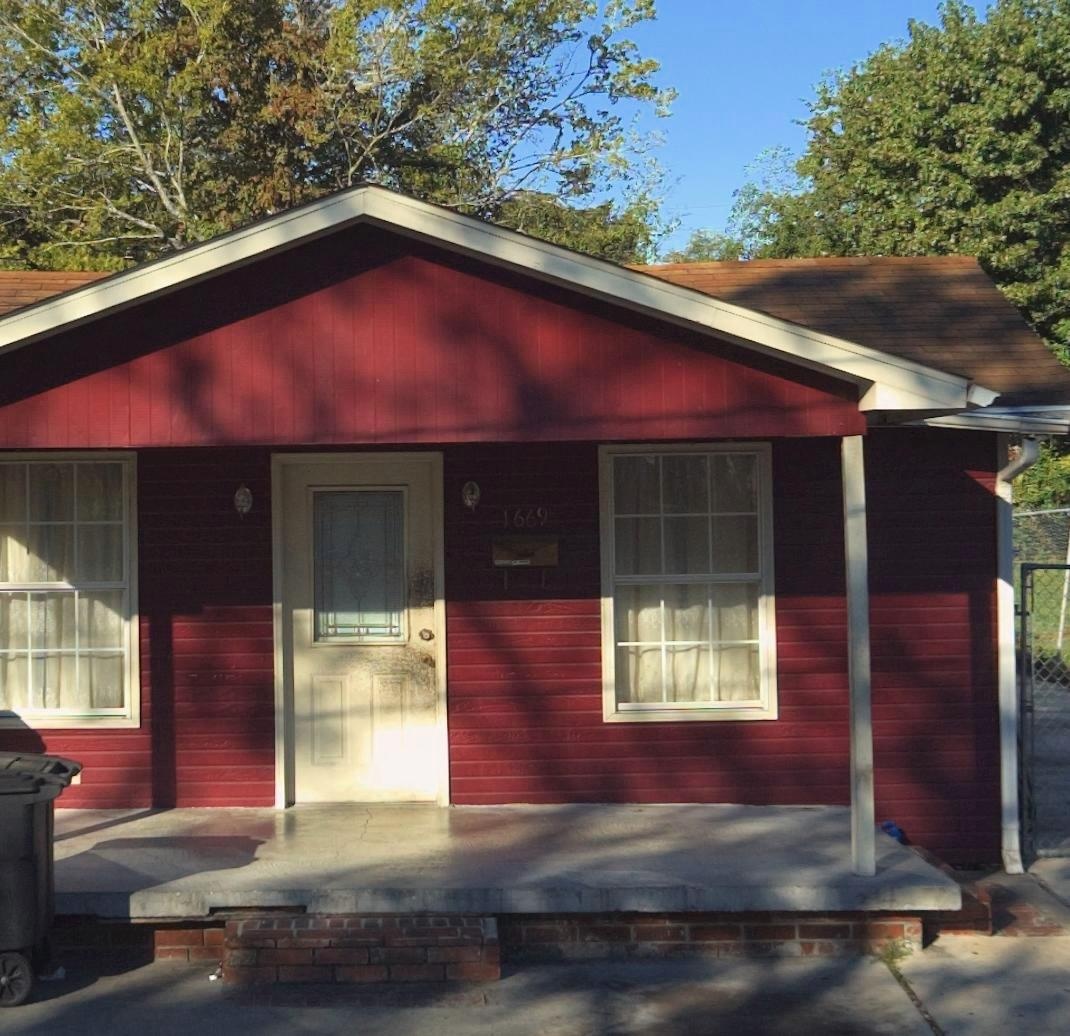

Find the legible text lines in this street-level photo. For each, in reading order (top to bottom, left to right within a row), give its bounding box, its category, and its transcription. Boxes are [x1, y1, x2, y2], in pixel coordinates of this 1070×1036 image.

[500, 504, 550, 530] StreetNumber: 1669